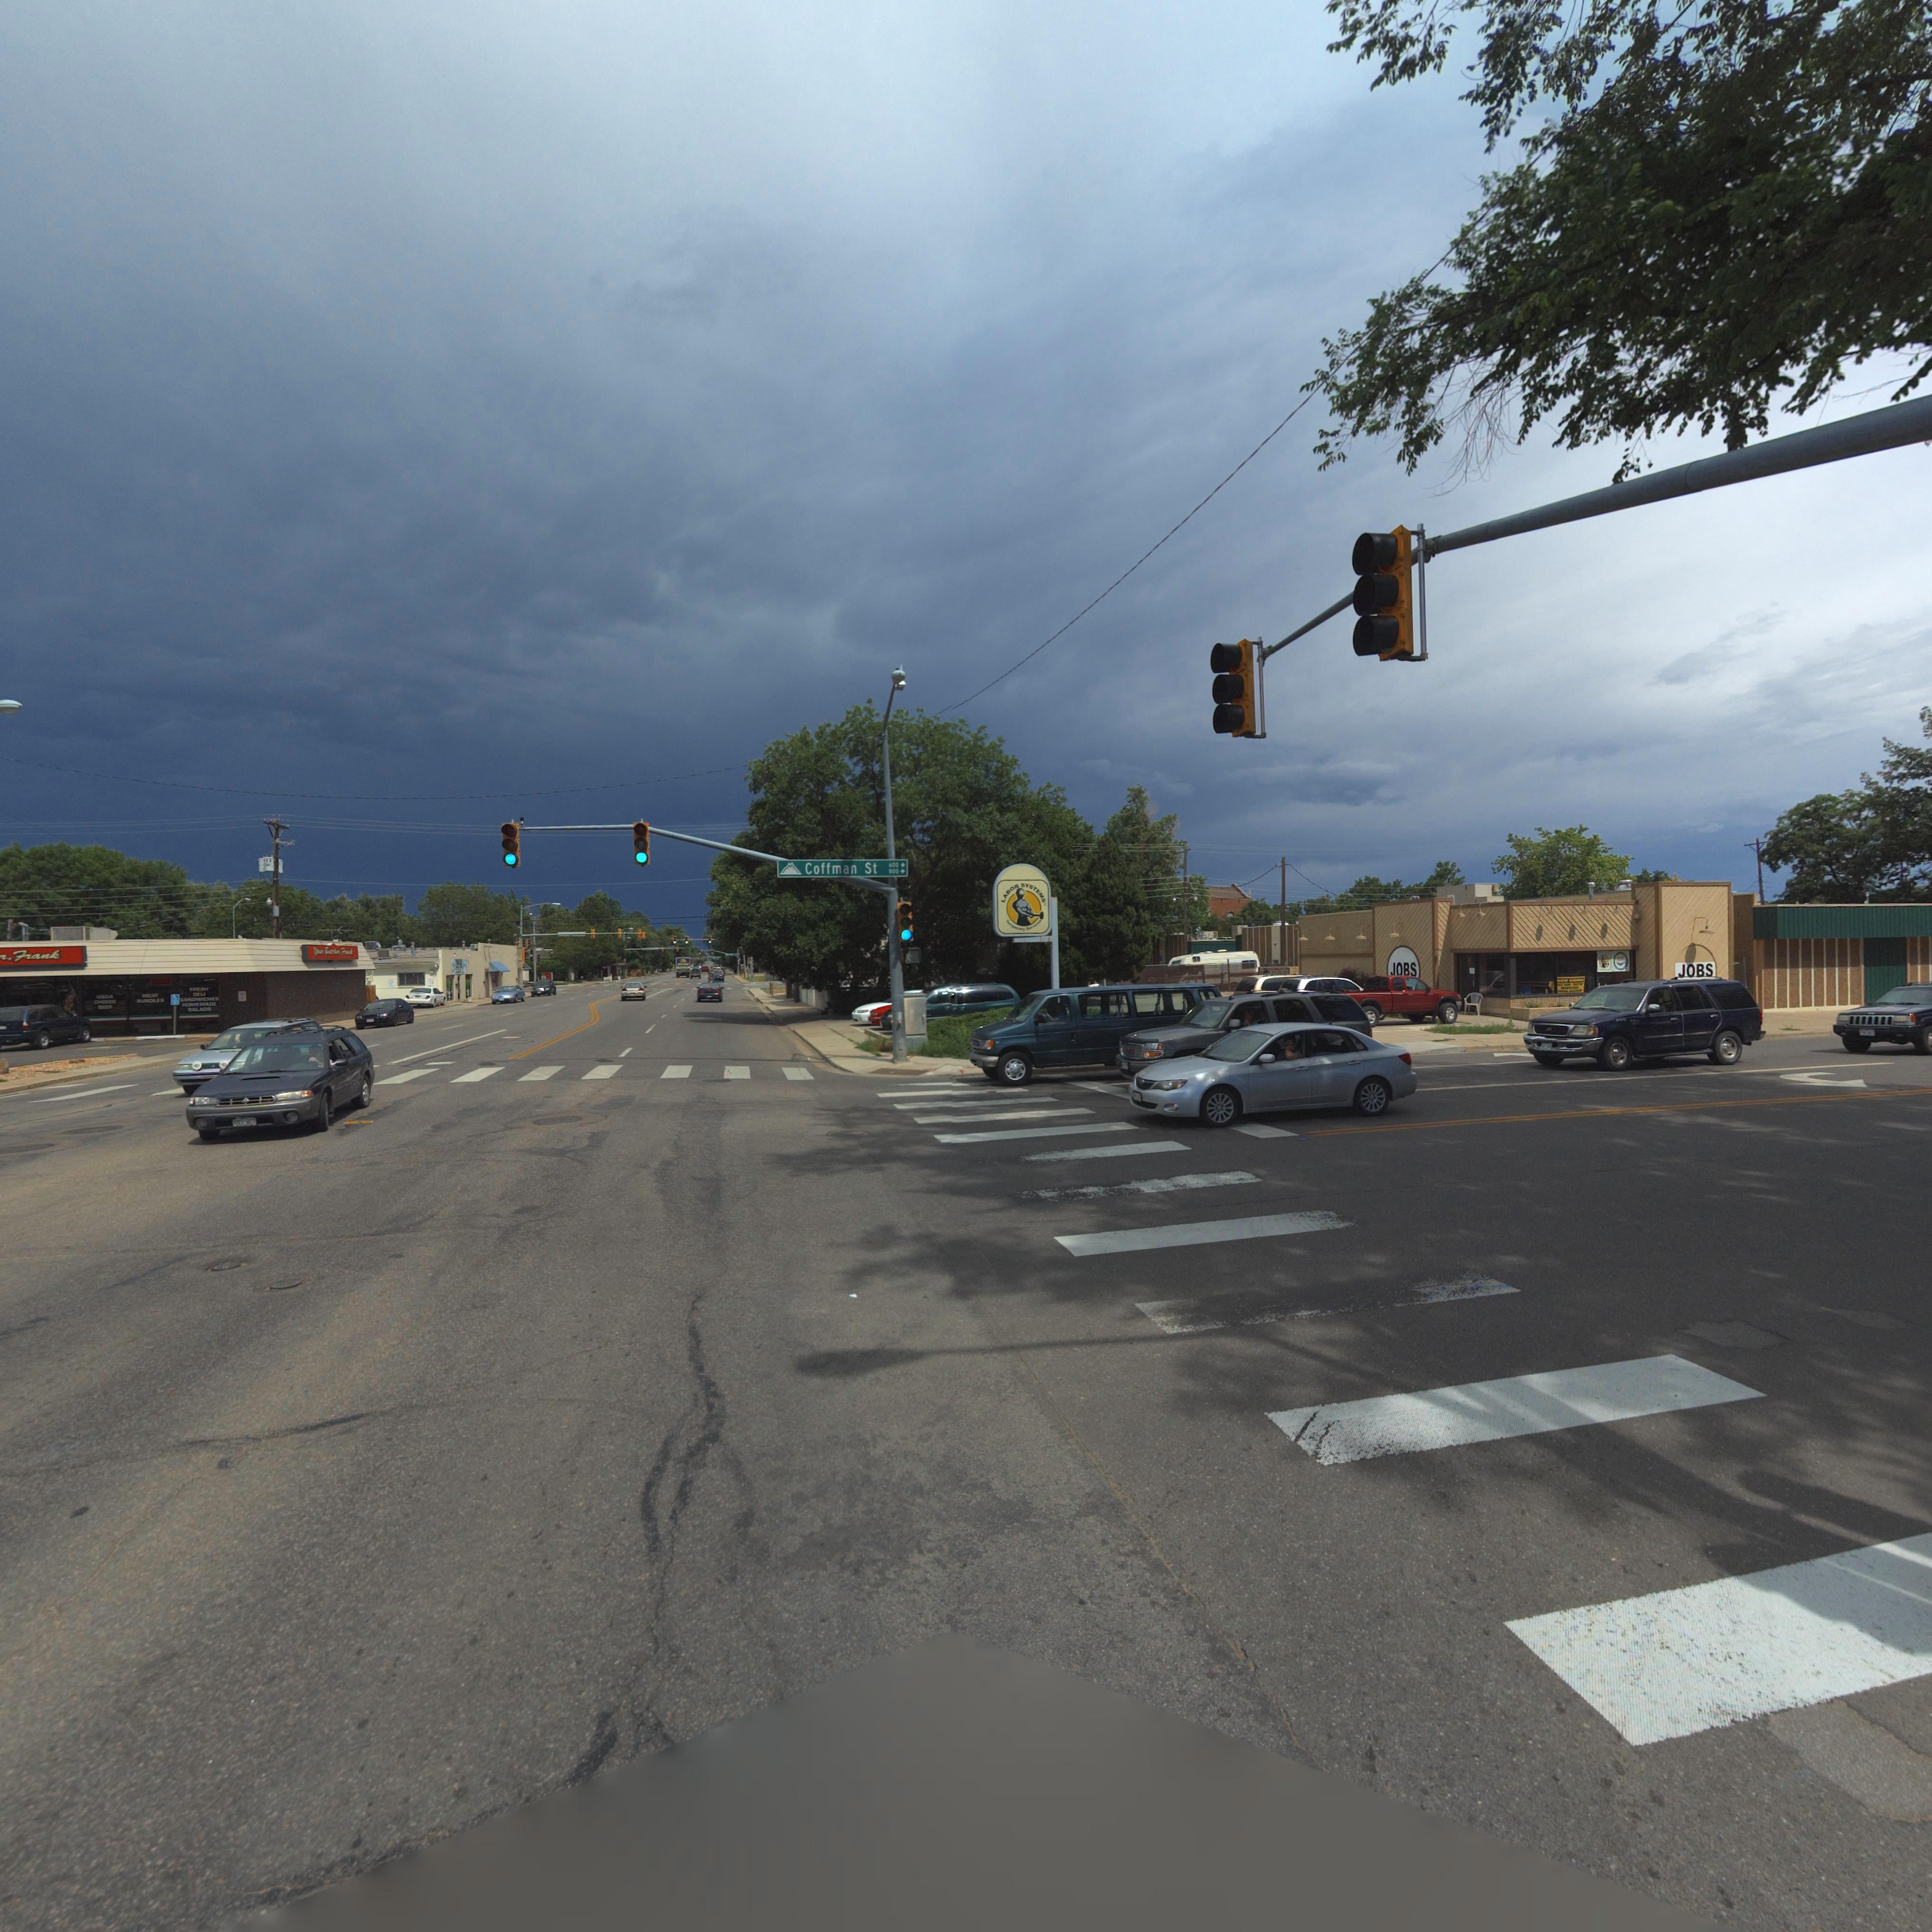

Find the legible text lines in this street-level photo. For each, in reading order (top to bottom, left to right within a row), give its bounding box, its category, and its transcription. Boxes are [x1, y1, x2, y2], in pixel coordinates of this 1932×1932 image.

[805, 862, 877, 874] StreetName: Coffman St
[889, 862, 898, 867] StreetNumberRange: 600
[889, 869, 905, 873] StreetNumberRange: 800 ->
[1001, 883, 1046, 902] BusinessName: LABOR SYSTEMS
[1005, 918, 1042, 932] BusinessName: T***o**** S*******
[12, 949, 60, 961] BusinessName: Frank